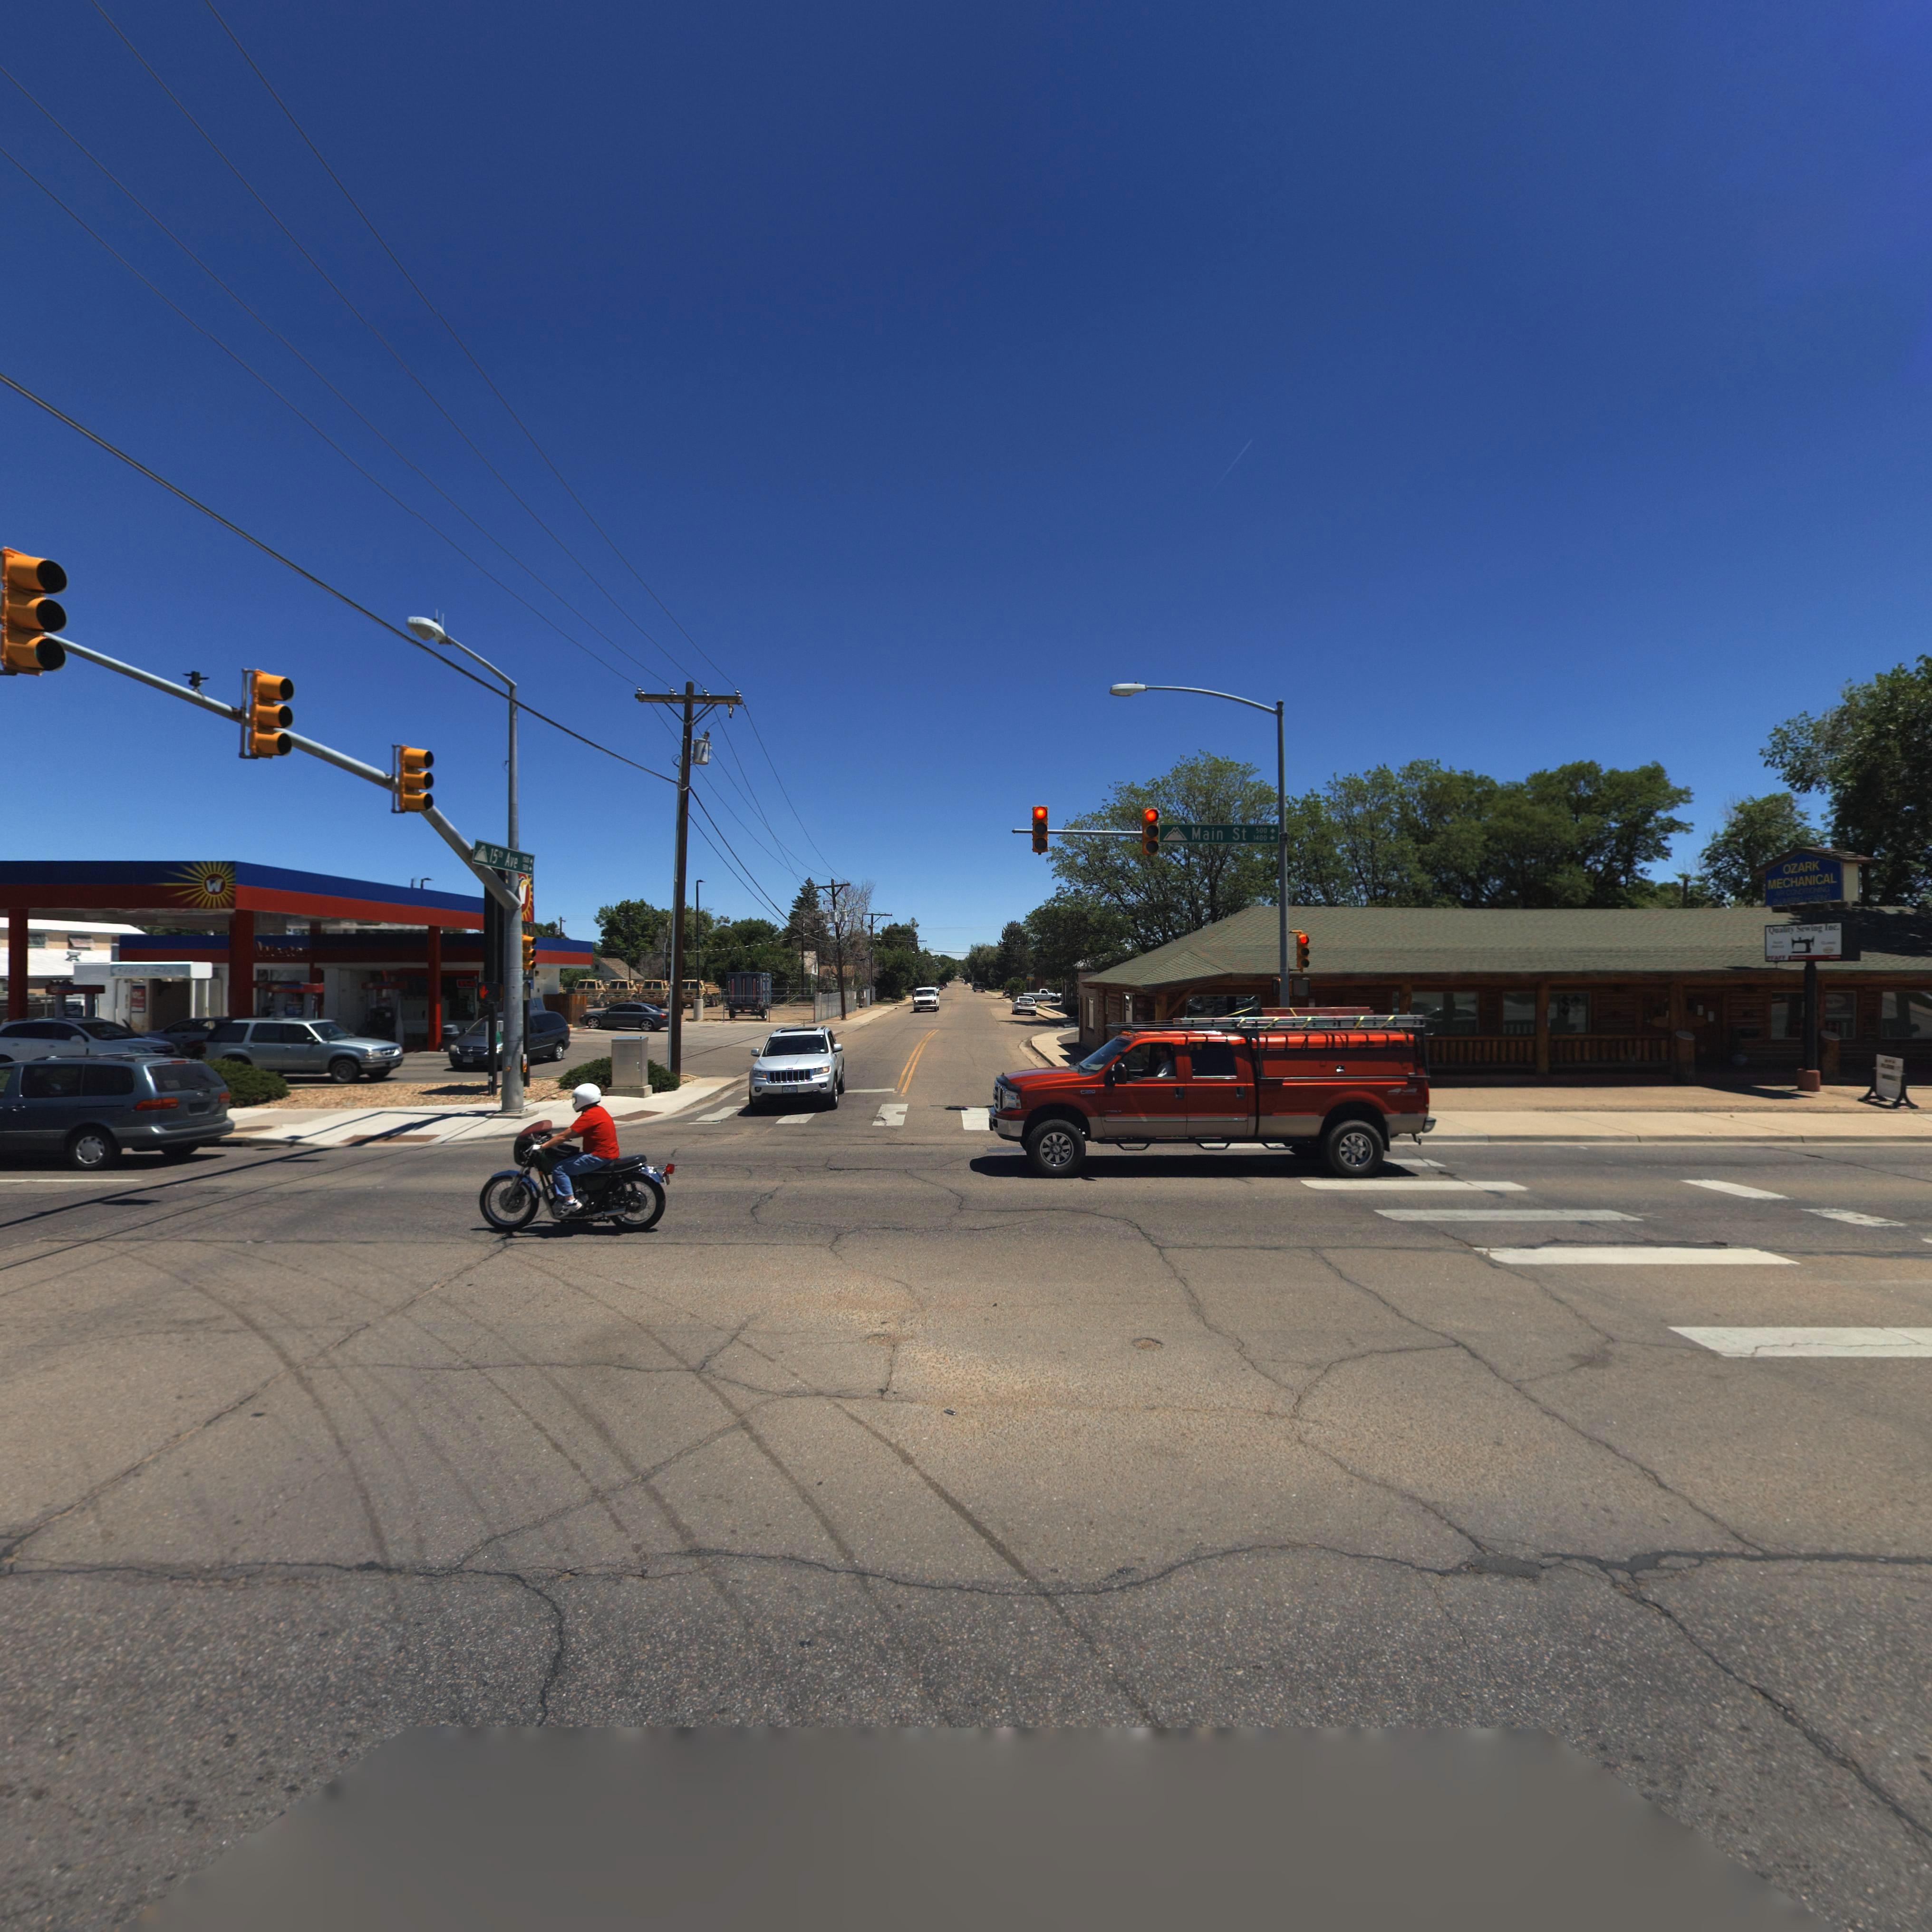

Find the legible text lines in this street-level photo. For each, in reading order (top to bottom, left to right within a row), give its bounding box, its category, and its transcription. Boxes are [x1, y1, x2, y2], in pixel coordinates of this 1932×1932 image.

[1192, 826, 1246, 840] StreetName: Man st
[1255, 827, 1268, 834] StreetNumberRange: 500
[1253, 834, 1277, 841] StreetNumberRange: 1400->
[489, 847, 518, 869] StreetName: 15th Ave
[522, 856, 530, 864] StreetNumberRange: 1500
[522, 863, 533, 872] StreetName: 500->